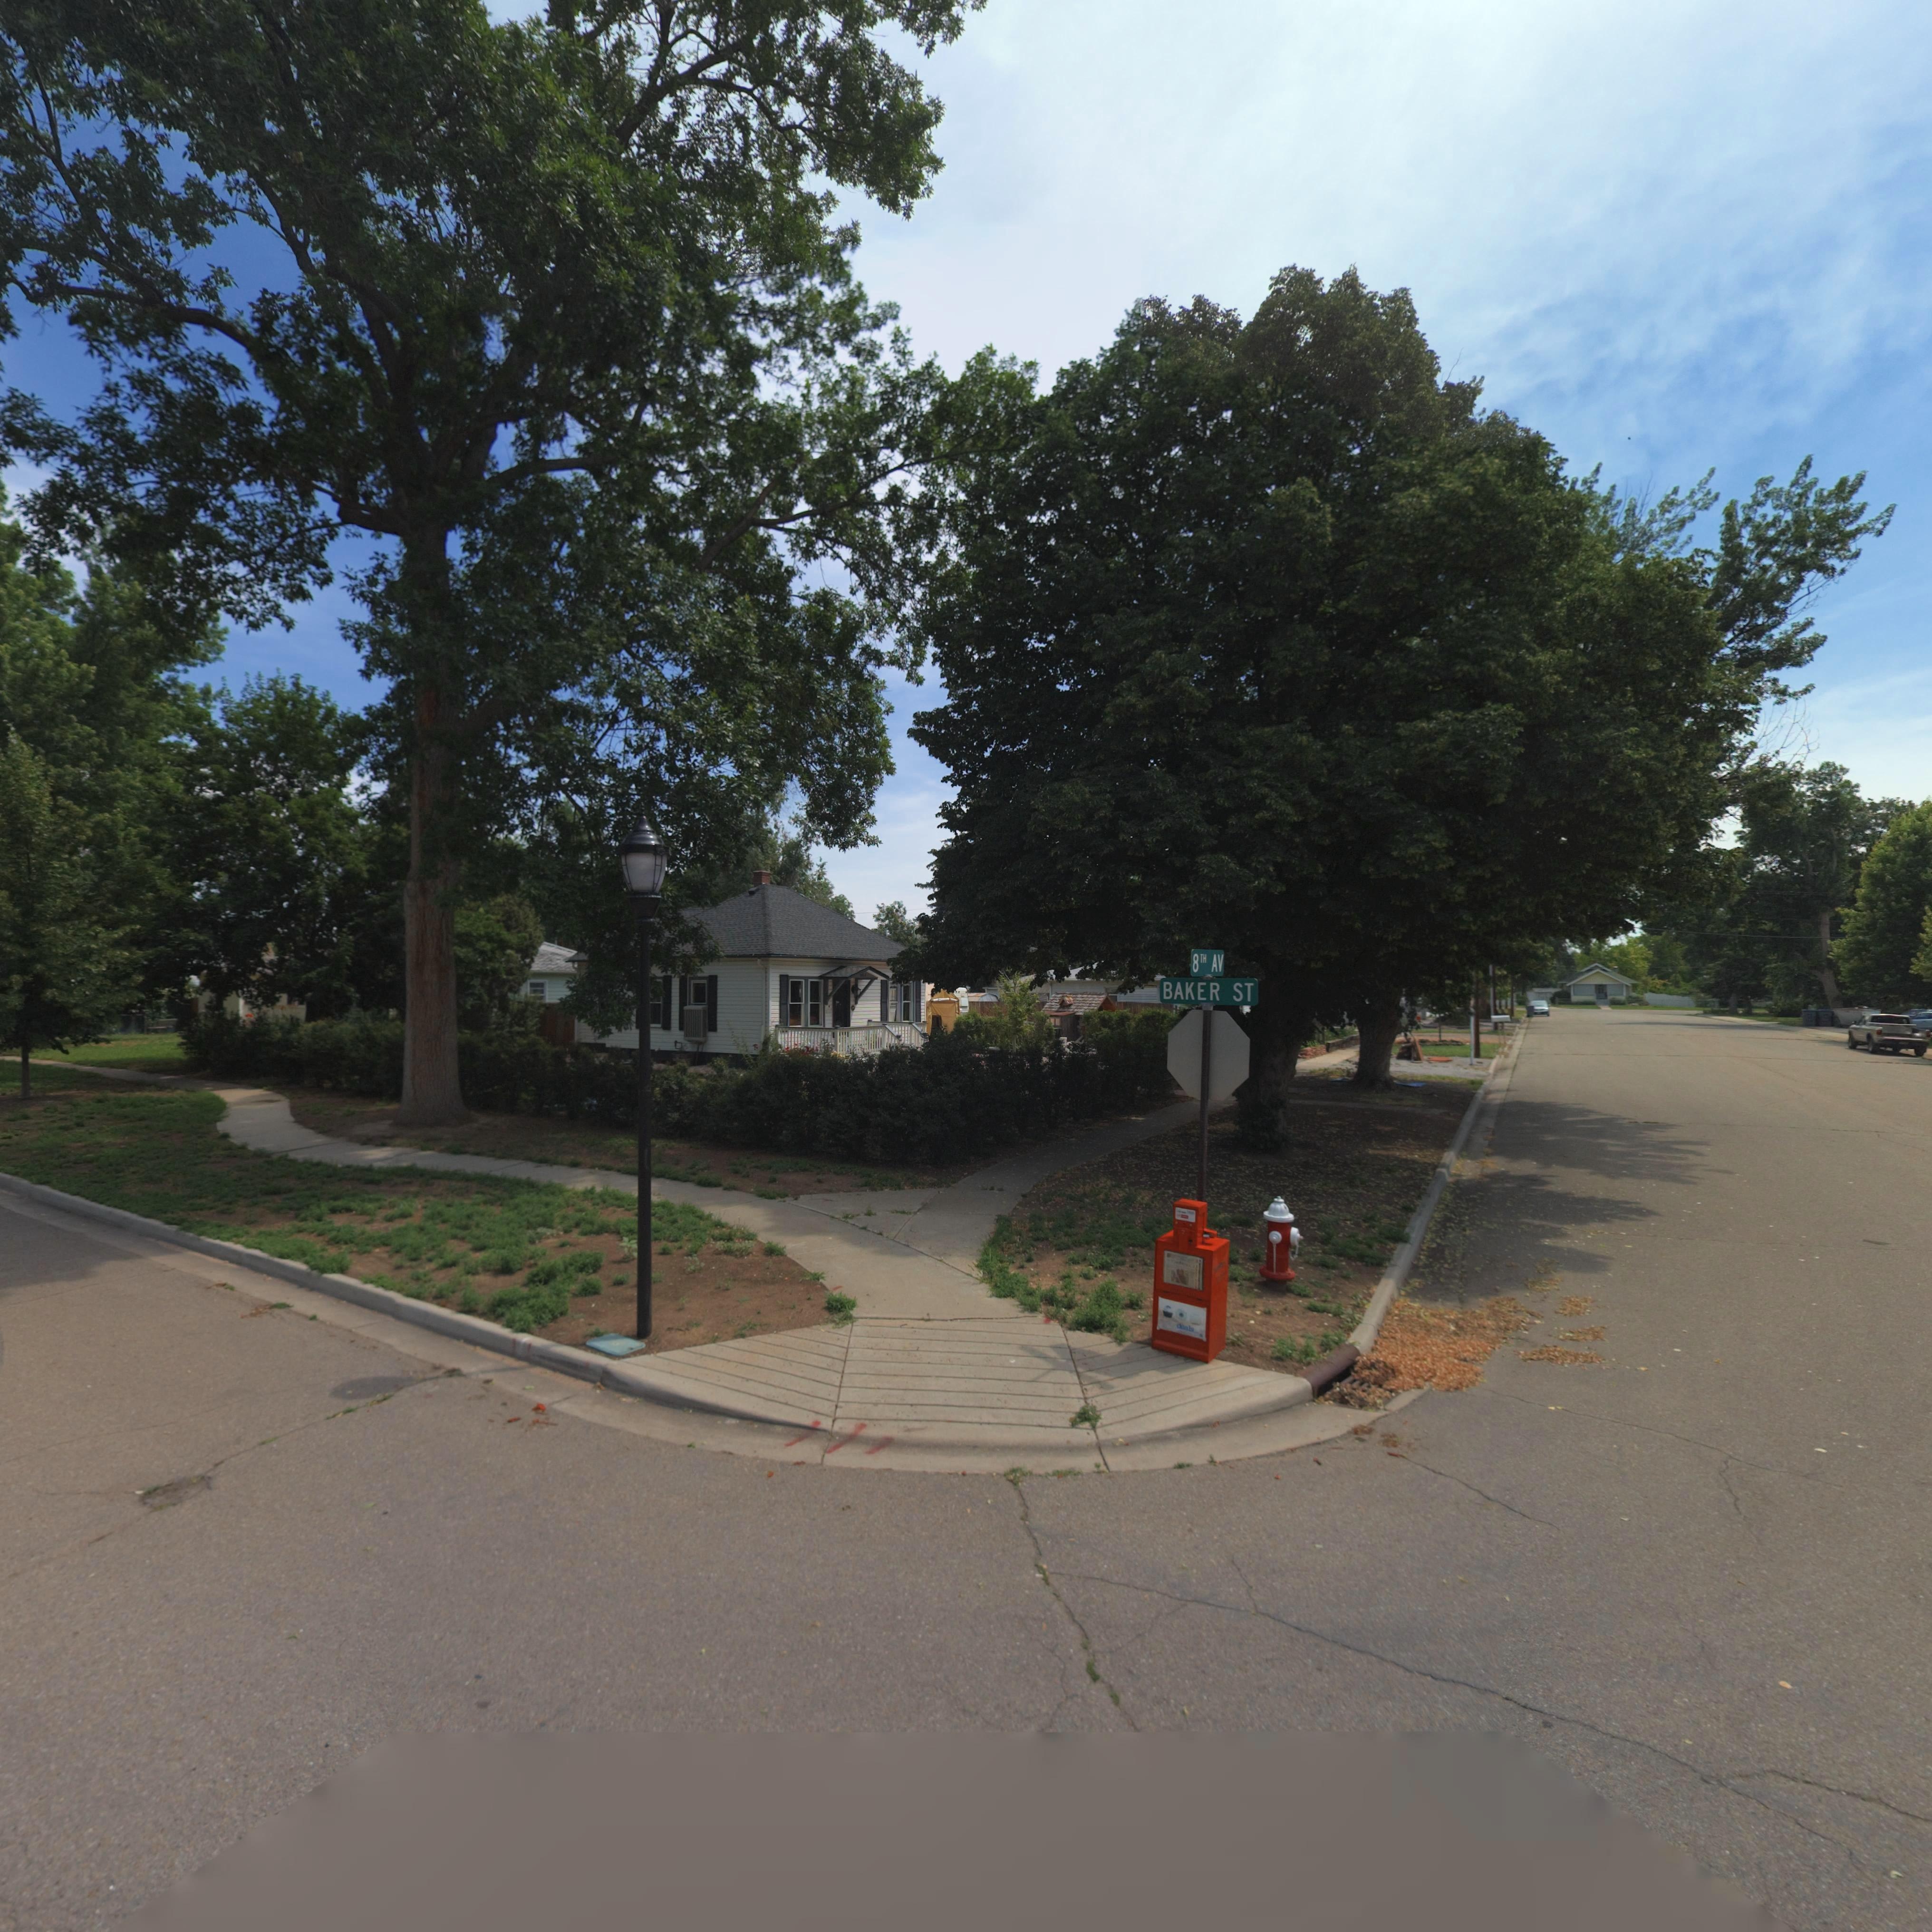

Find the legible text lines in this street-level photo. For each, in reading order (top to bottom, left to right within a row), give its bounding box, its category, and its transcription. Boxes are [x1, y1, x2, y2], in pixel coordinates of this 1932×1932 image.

[1192, 953, 1224, 973] StreetName: 8TH AV
[1163, 981, 1254, 1003] StreetName: BAKER ST